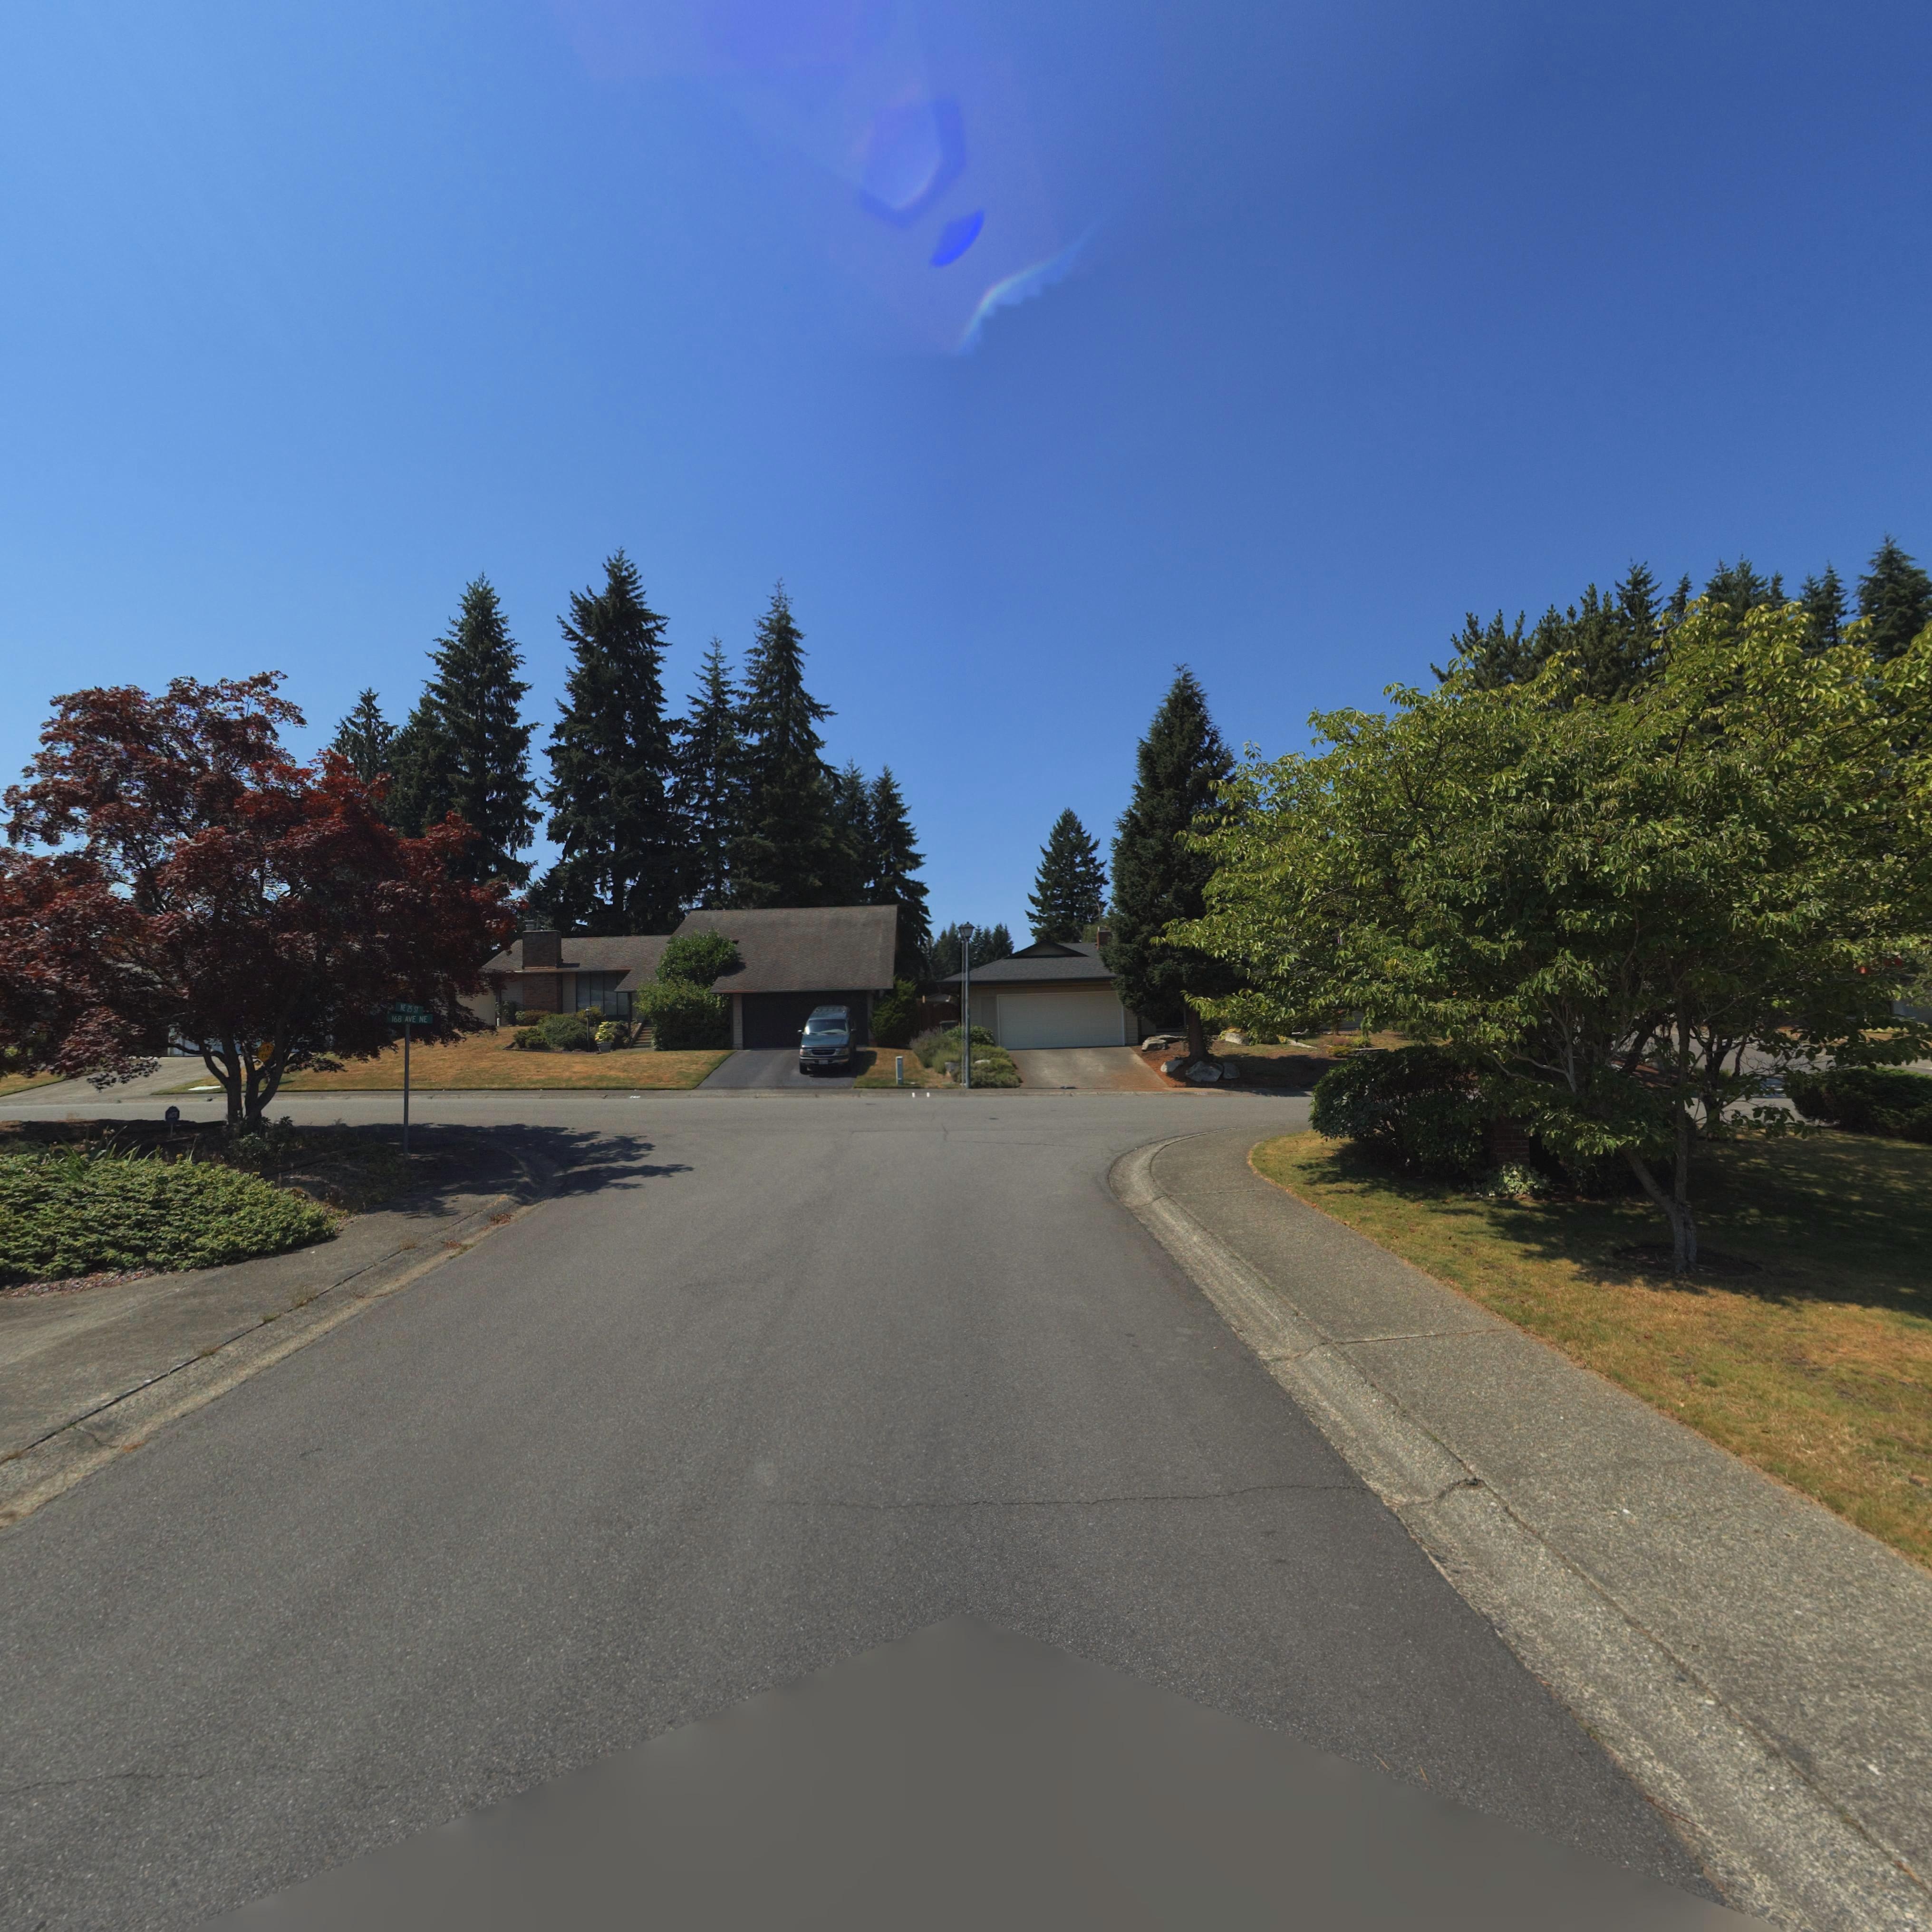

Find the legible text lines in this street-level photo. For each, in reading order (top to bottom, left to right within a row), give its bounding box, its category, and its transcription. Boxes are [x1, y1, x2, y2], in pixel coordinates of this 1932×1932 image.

[399, 1004, 419, 1014] StreetName: *E 25 ST
[391, 1014, 427, 1023] StreetName: 168 AVE NE